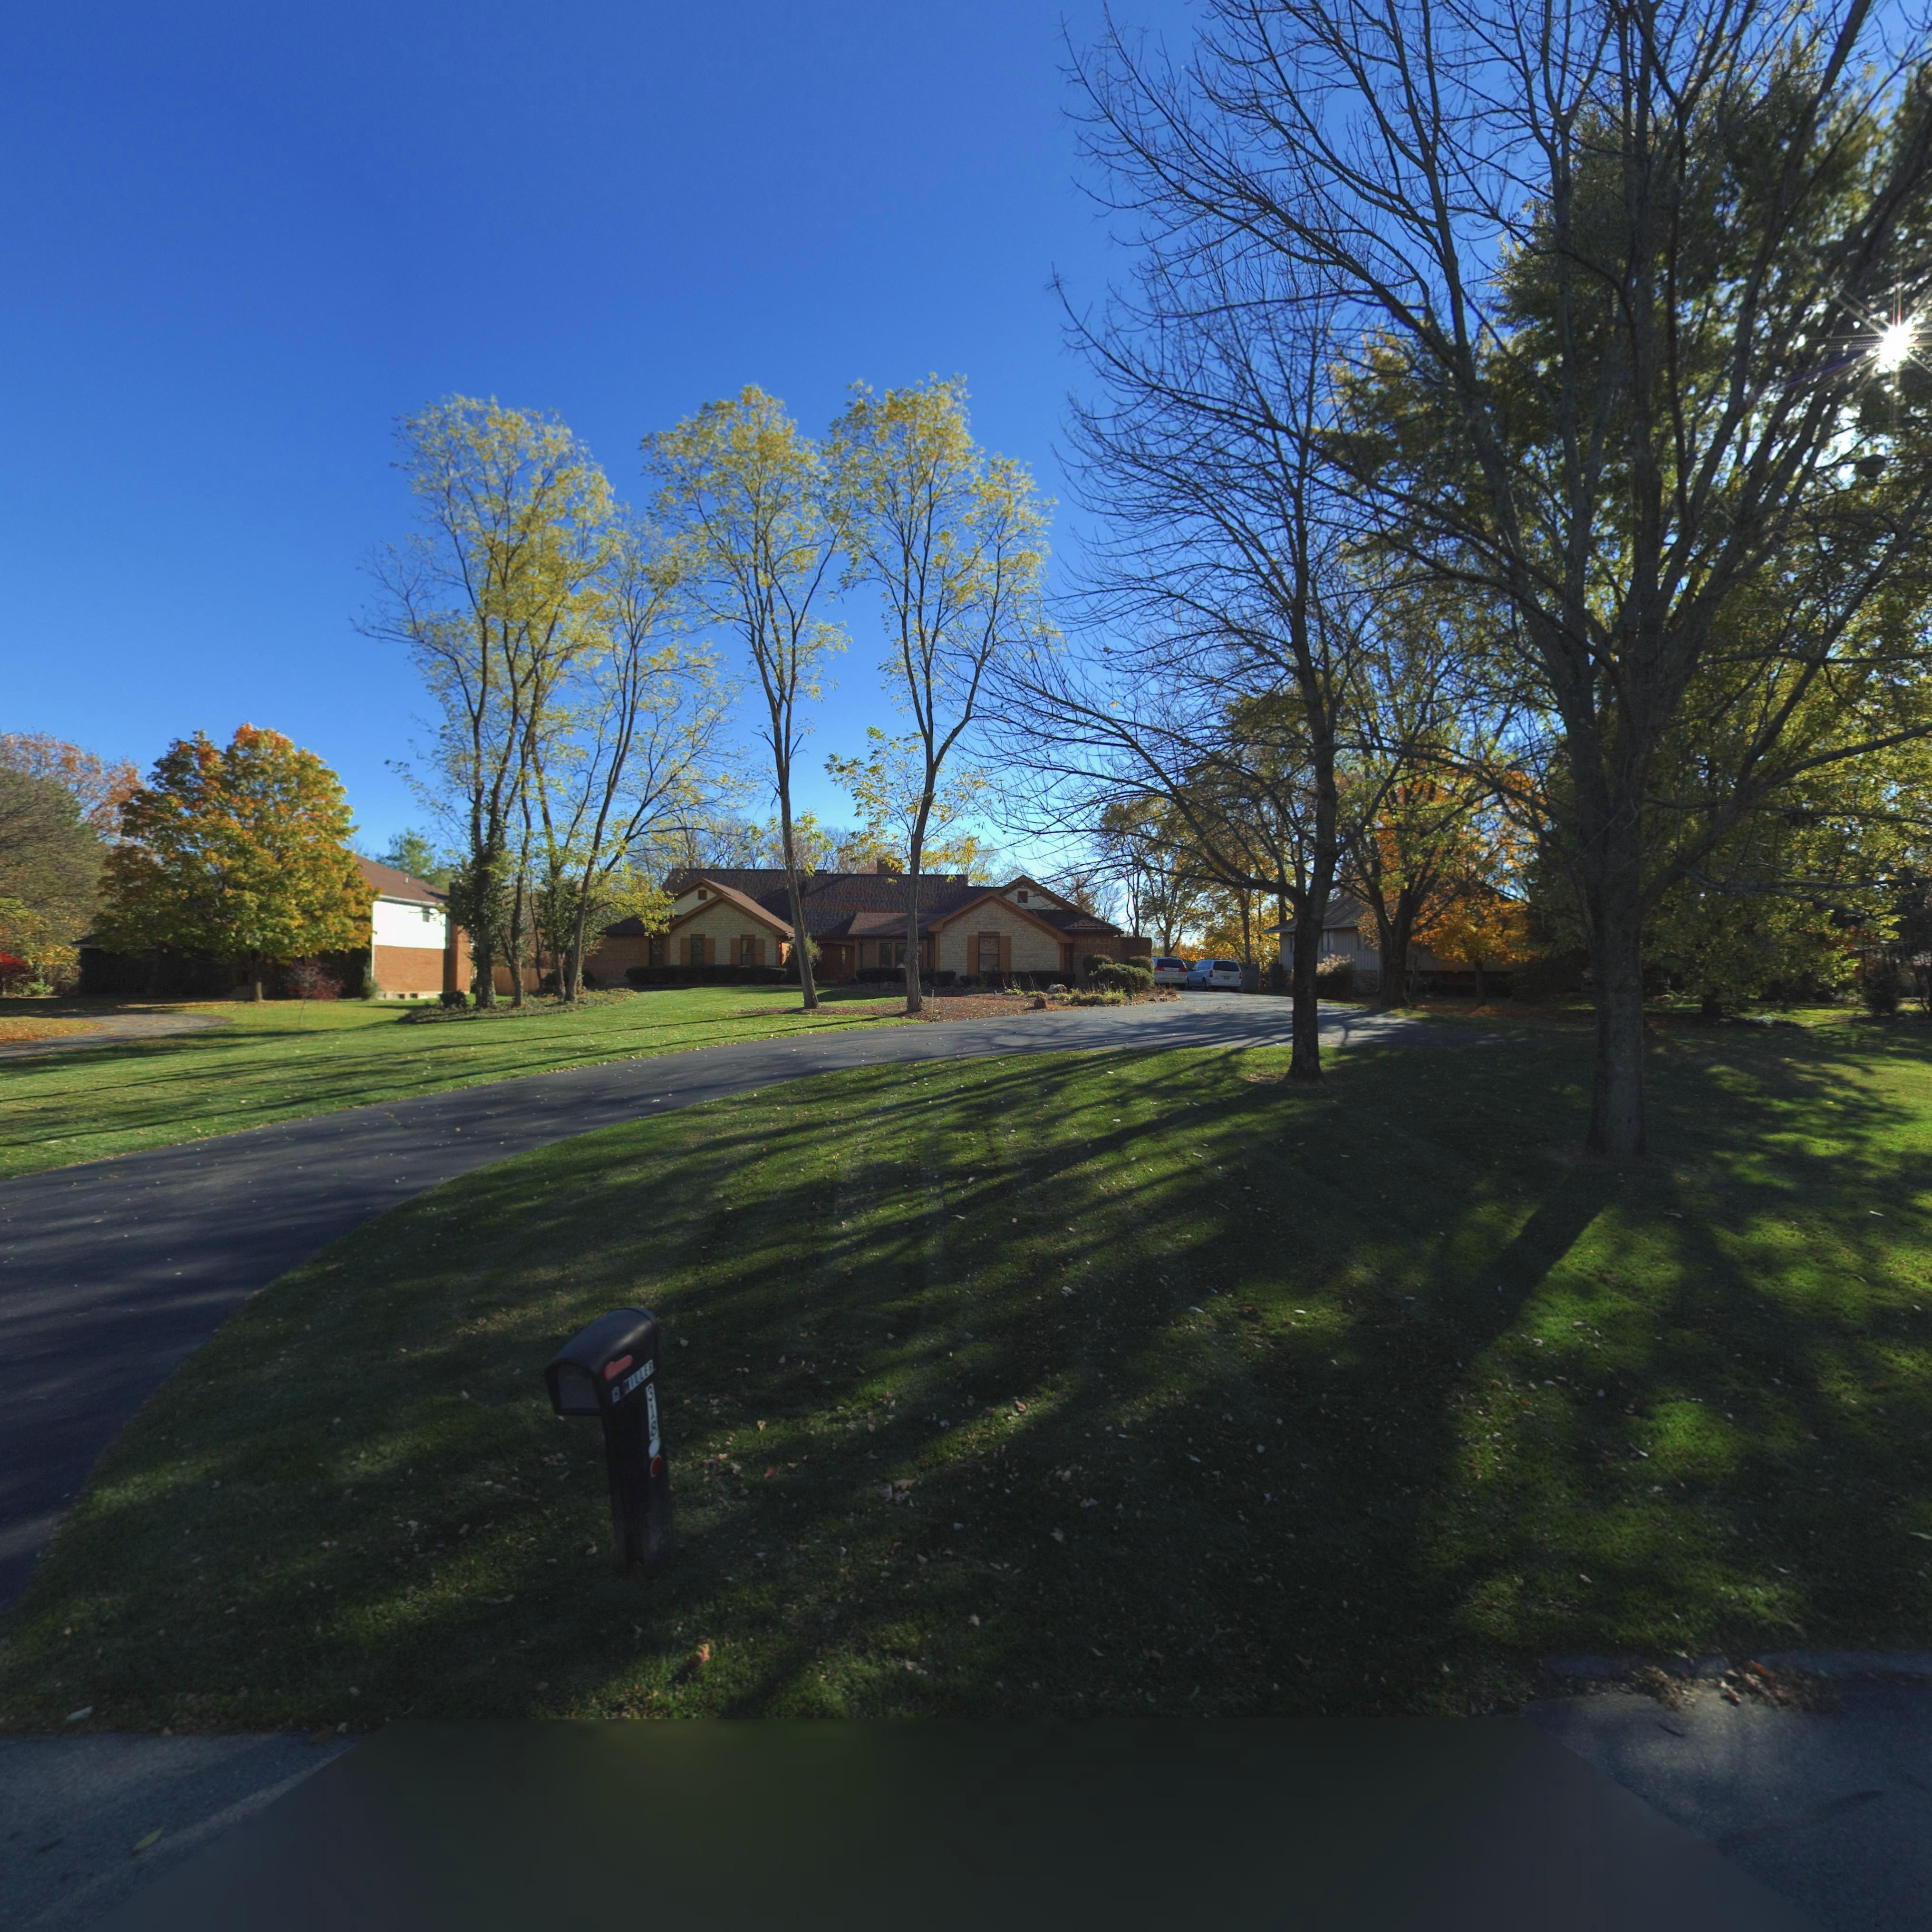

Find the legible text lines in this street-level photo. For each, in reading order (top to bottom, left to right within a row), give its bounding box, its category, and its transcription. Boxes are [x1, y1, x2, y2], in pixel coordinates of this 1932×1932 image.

[646, 1382, 659, 1439] StreetNumber: 318